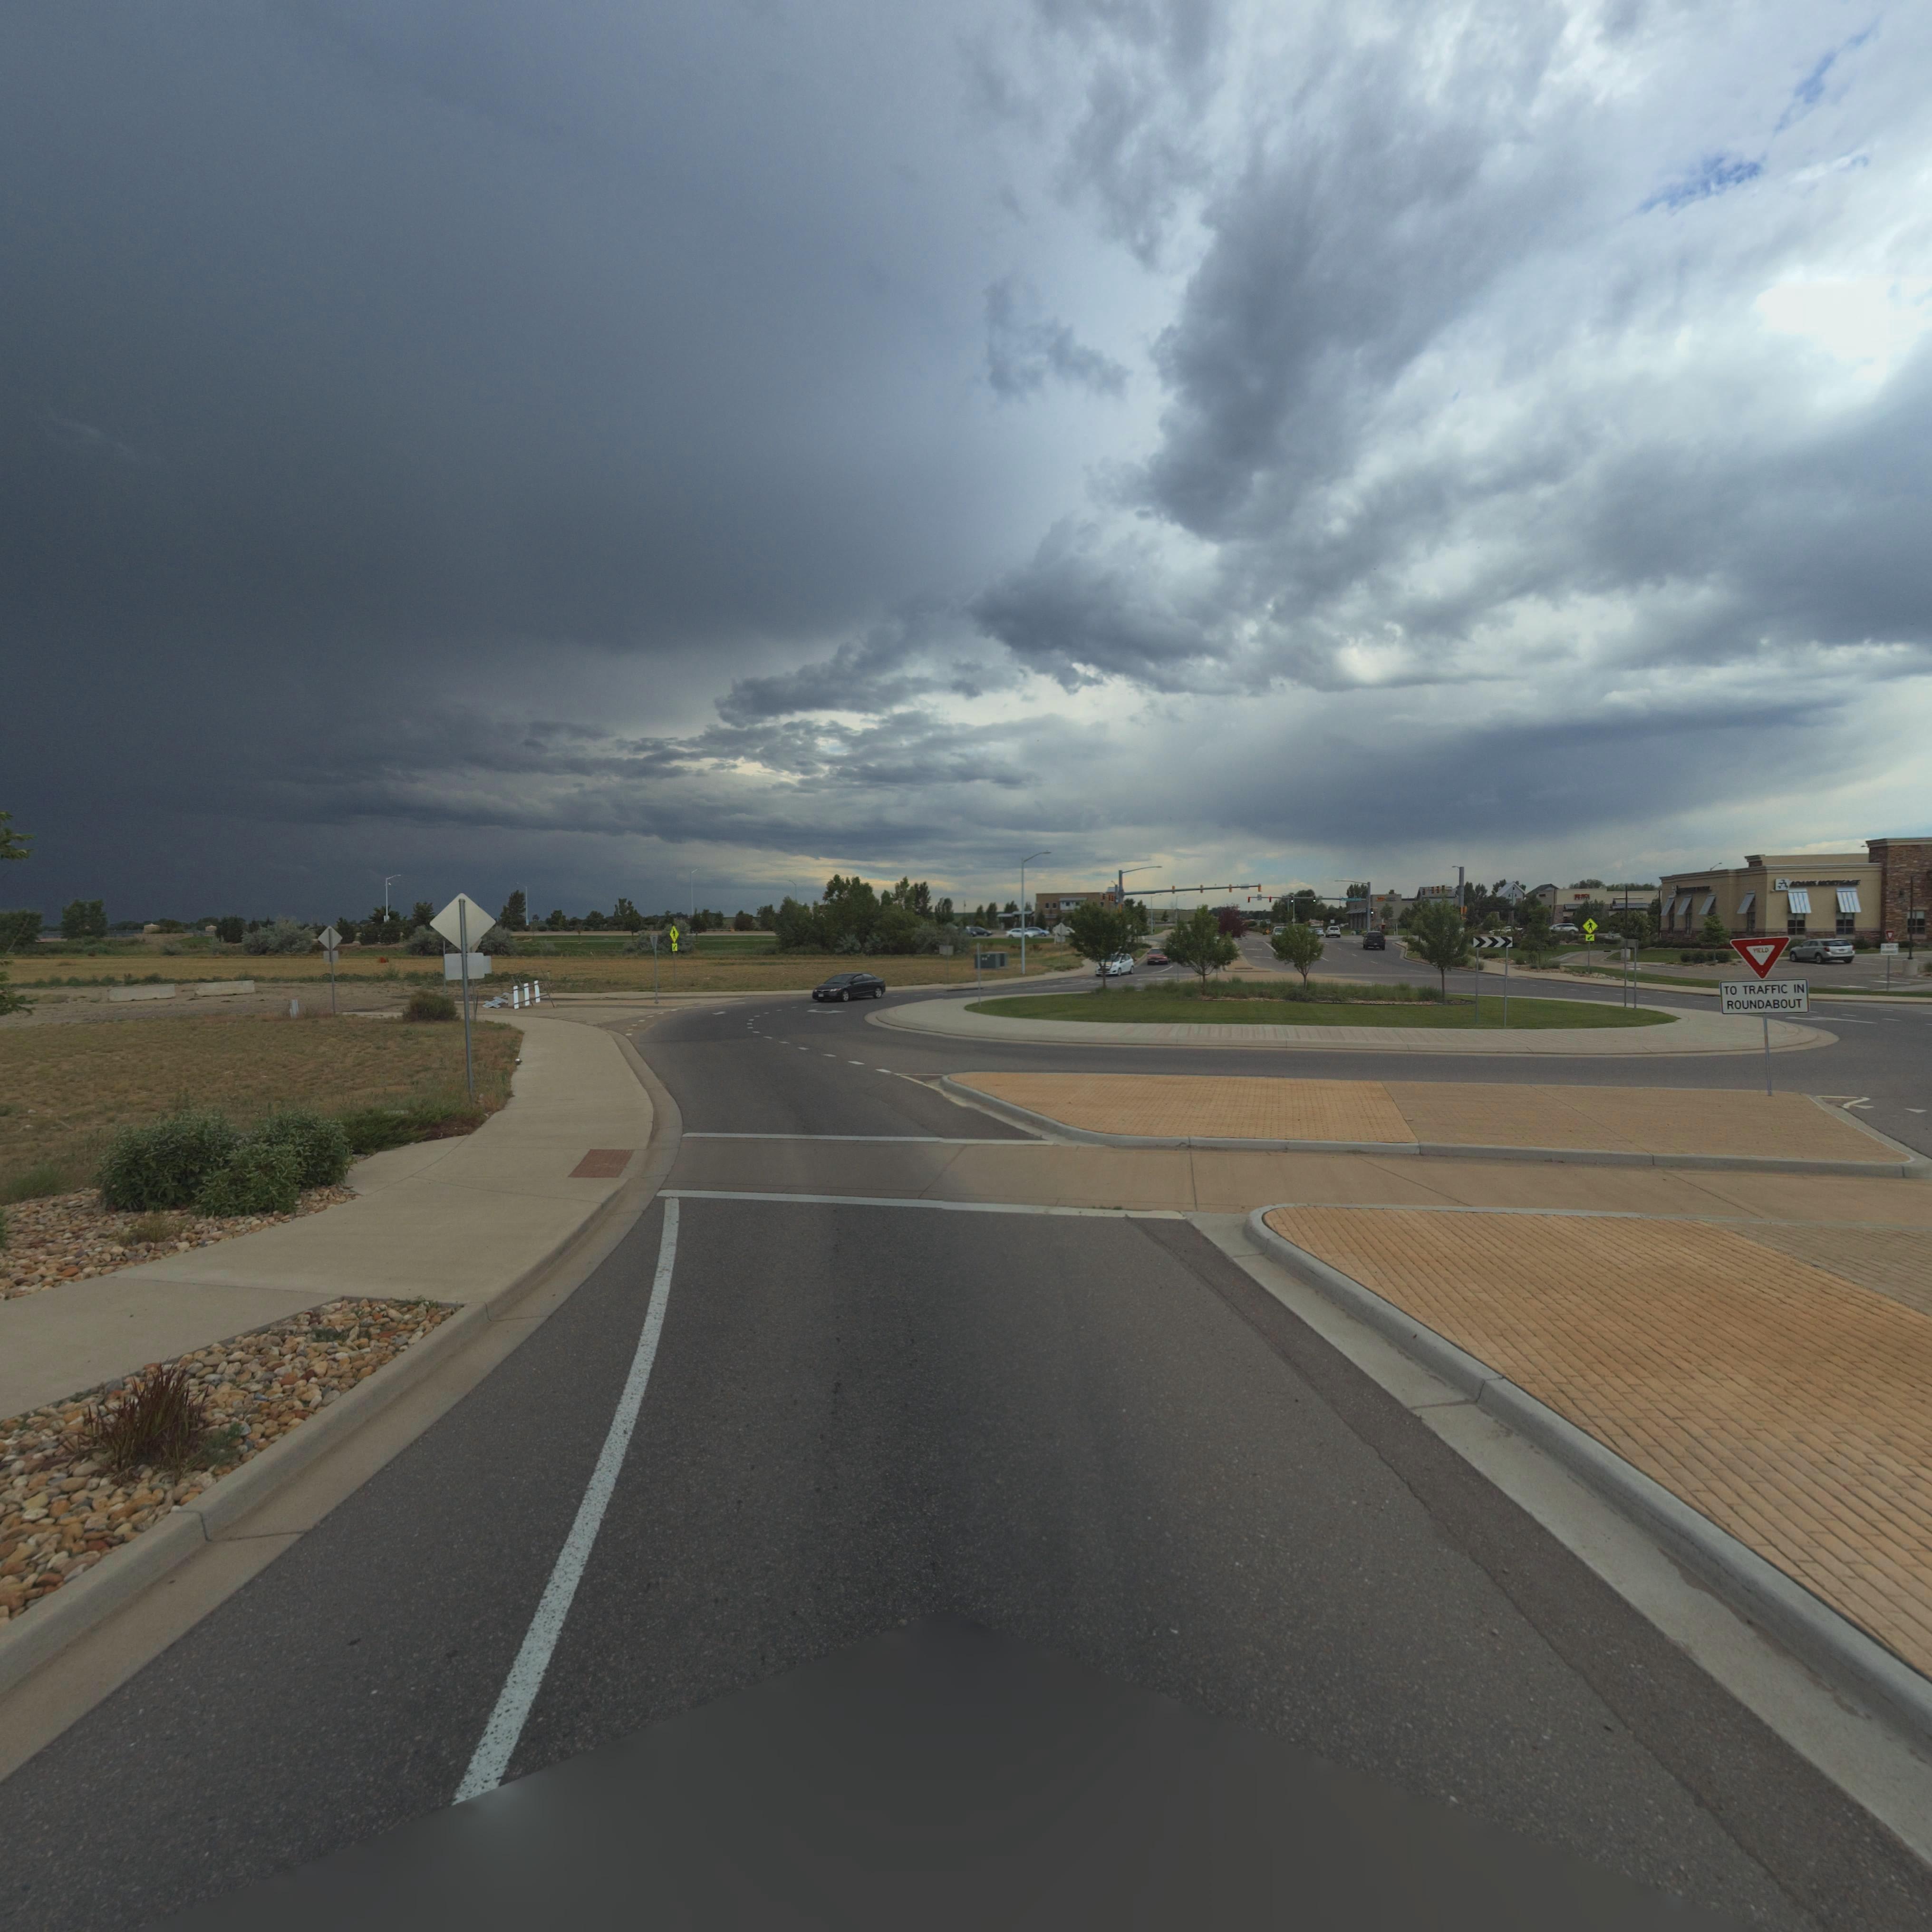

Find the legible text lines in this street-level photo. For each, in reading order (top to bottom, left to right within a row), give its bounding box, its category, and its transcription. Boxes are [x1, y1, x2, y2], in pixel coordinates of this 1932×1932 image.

[1789, 879, 1861, 886] BusinessName: ADAMS BROKERAGE